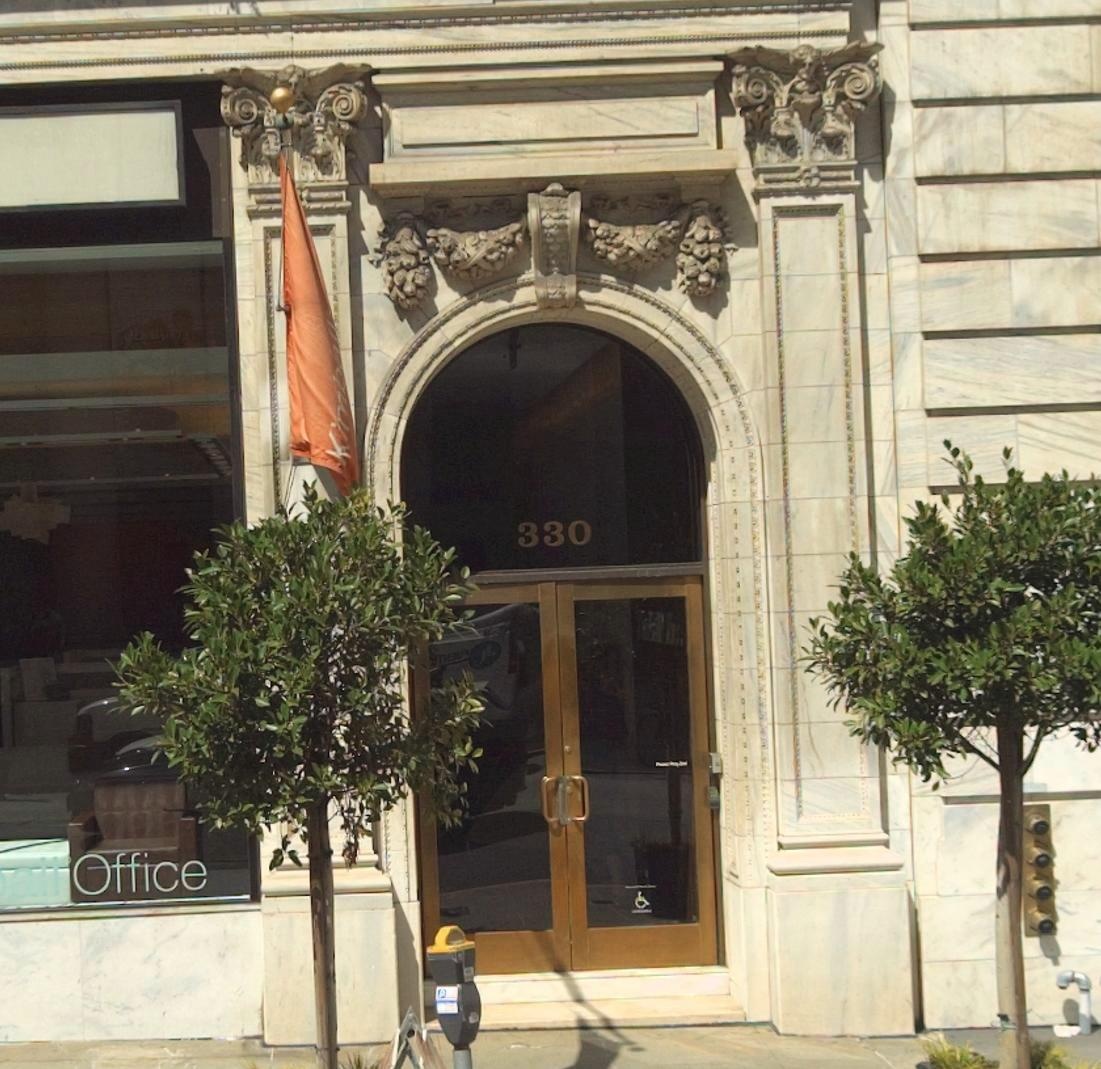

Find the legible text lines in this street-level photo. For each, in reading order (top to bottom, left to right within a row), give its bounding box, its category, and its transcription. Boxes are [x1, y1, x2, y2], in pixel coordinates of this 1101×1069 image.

[322, 430, 355, 473] None: K
[516, 518, 594, 551] StreetNumber: 330
[71, 850, 209, 896] None: Office